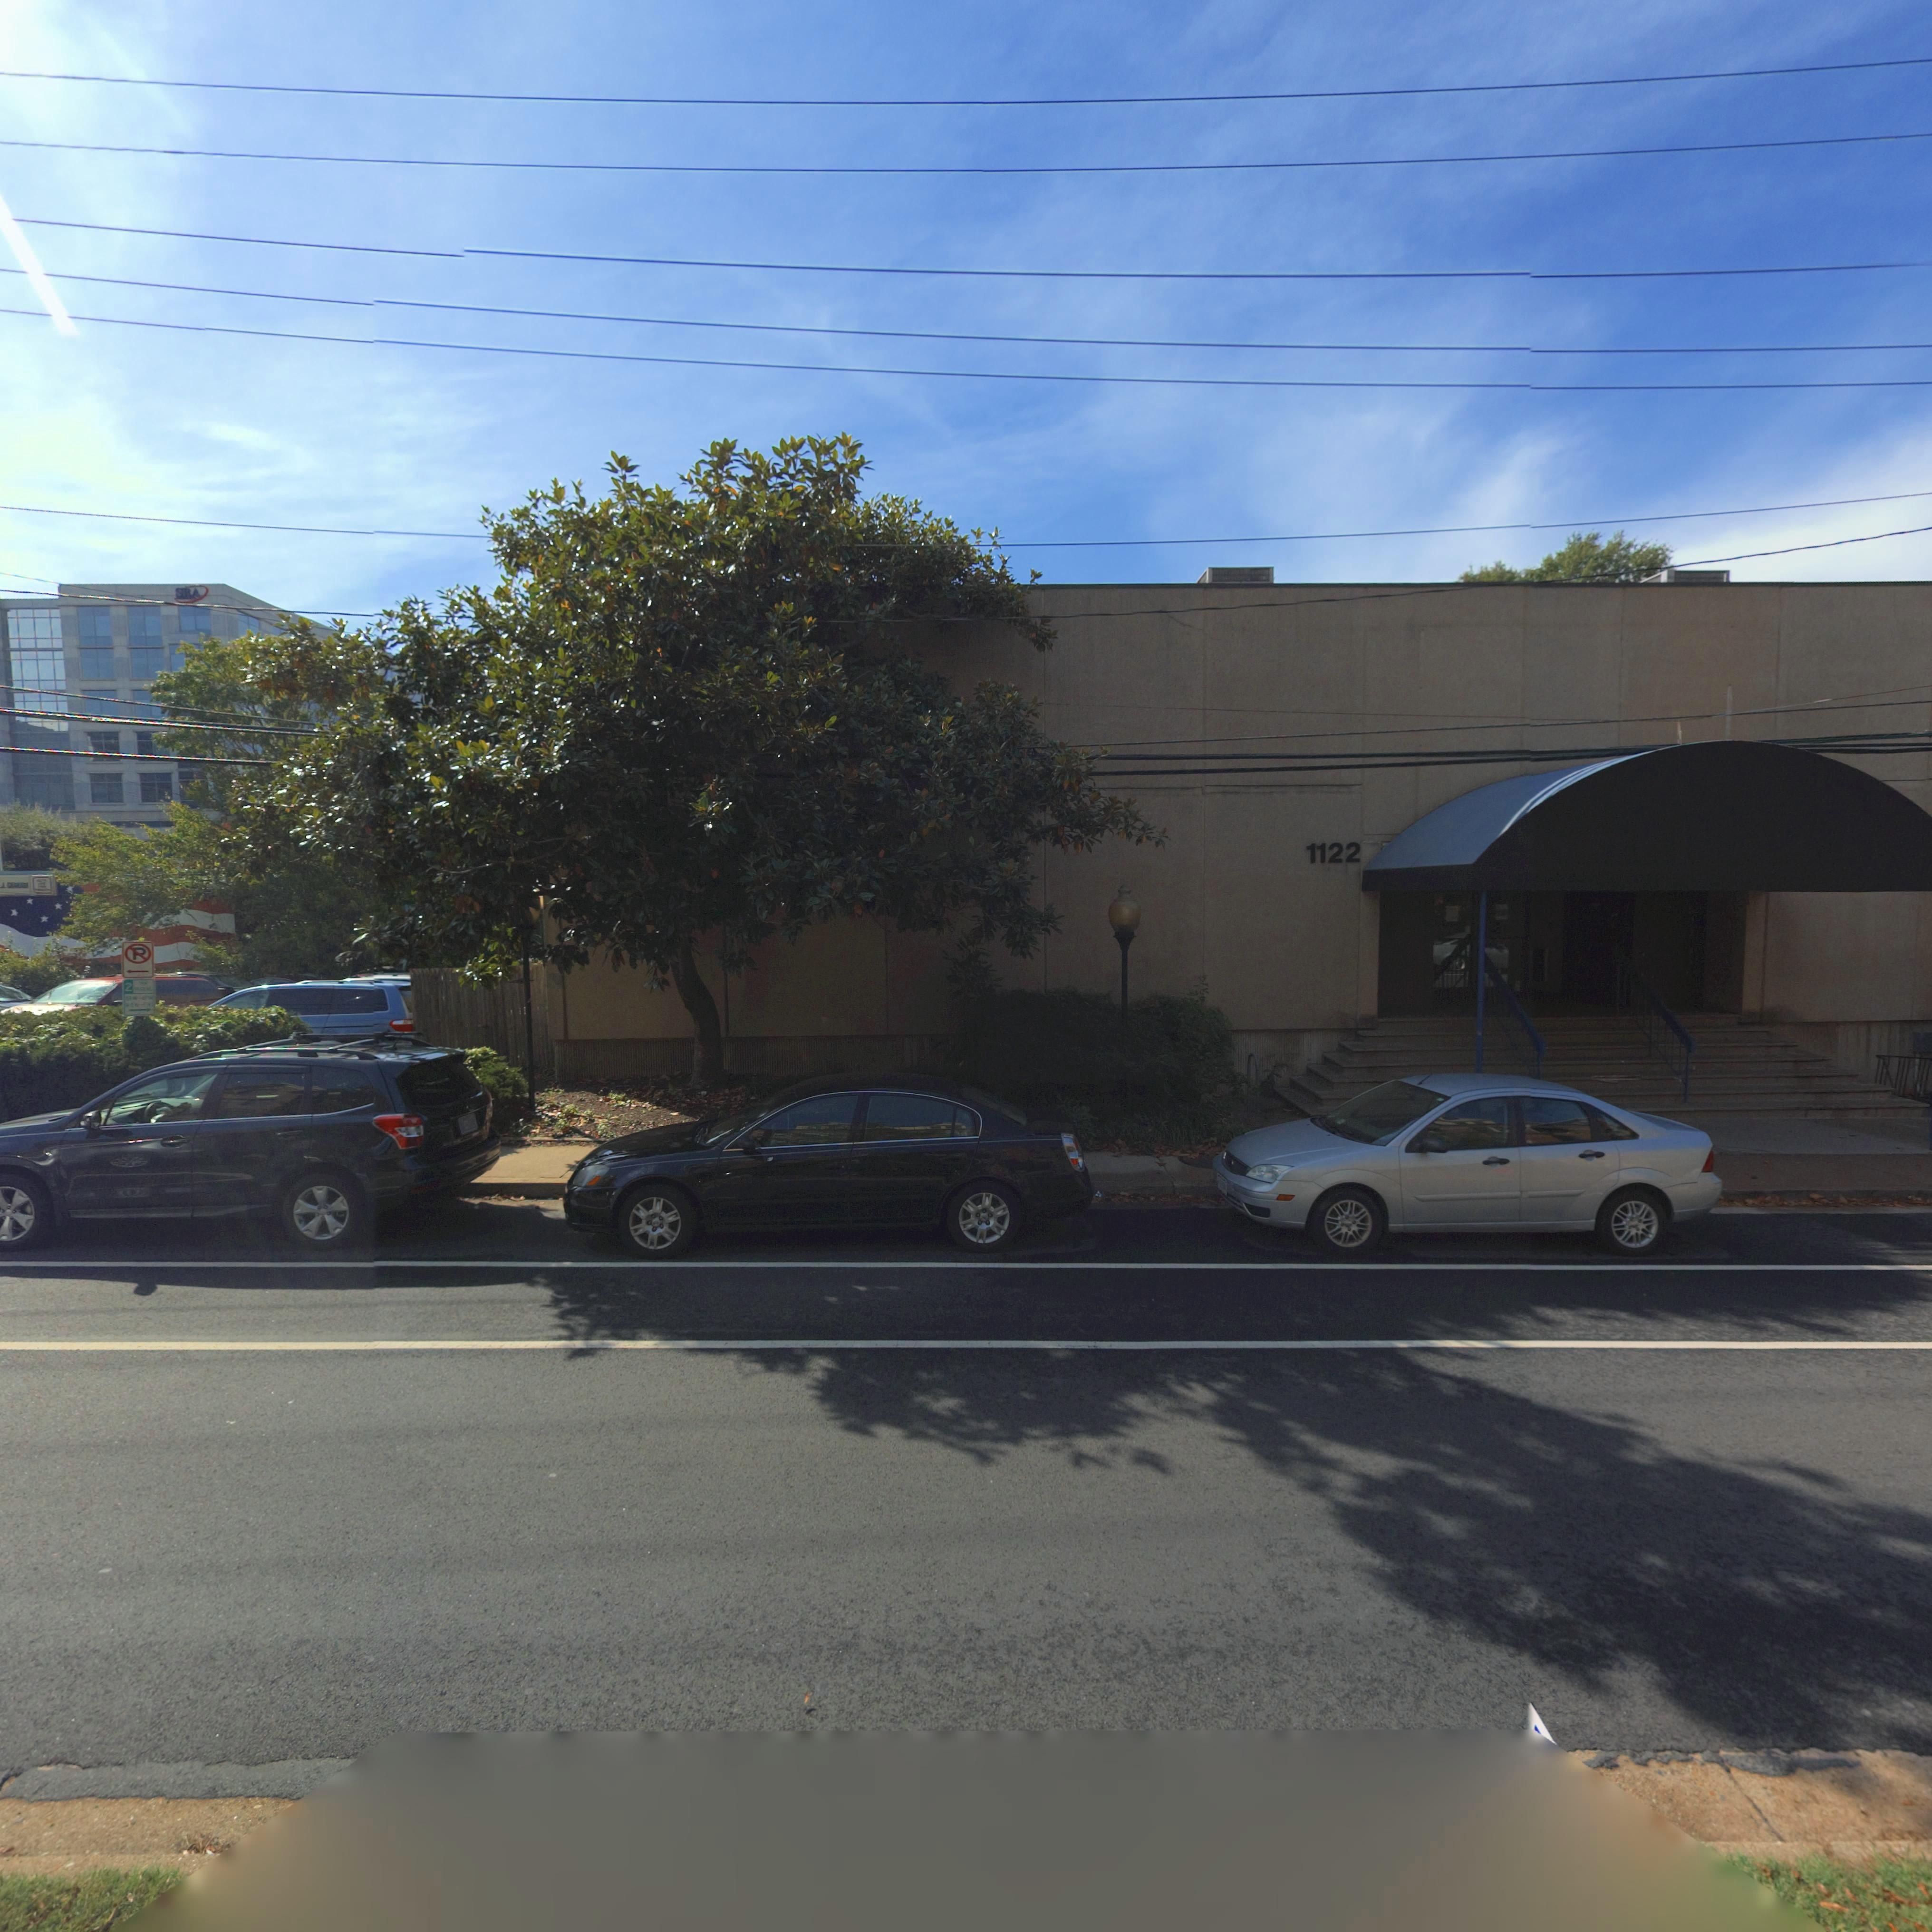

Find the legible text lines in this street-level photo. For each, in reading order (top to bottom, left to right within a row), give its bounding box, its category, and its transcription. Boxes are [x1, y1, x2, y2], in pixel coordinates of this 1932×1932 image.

[174, 587, 202, 599] BusinessName: SRA
[1305, 842, 1361, 864] StreetNumber: 1122
[124, 982, 133, 992] None: 2